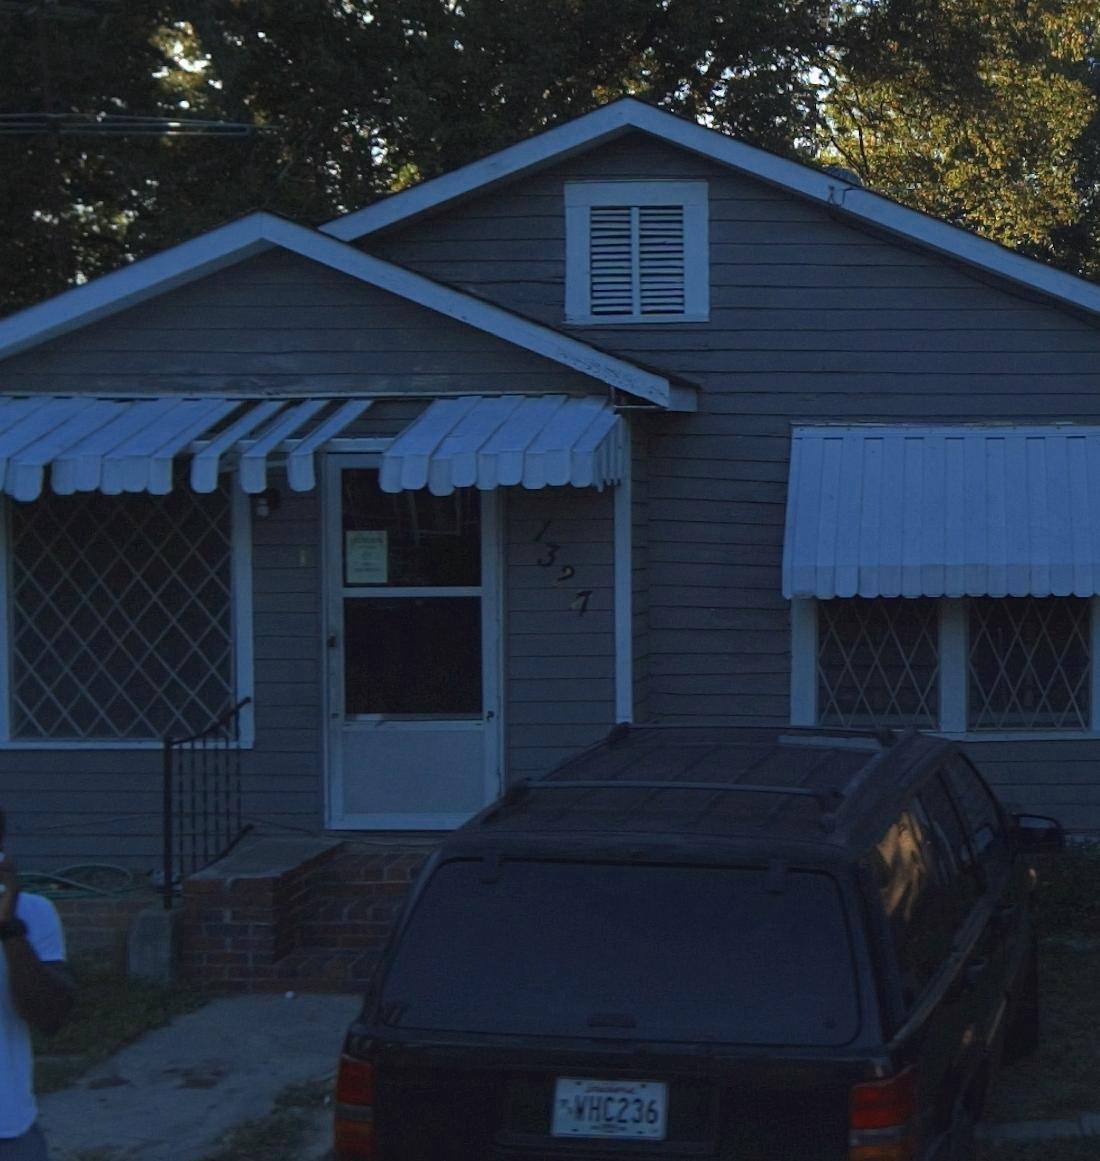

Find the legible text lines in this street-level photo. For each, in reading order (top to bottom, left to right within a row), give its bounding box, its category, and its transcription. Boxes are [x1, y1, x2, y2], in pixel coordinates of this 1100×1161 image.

[525, 508, 600, 632] StreetNumber: 1397
[570, 1089, 663, 1130] None: VHC236